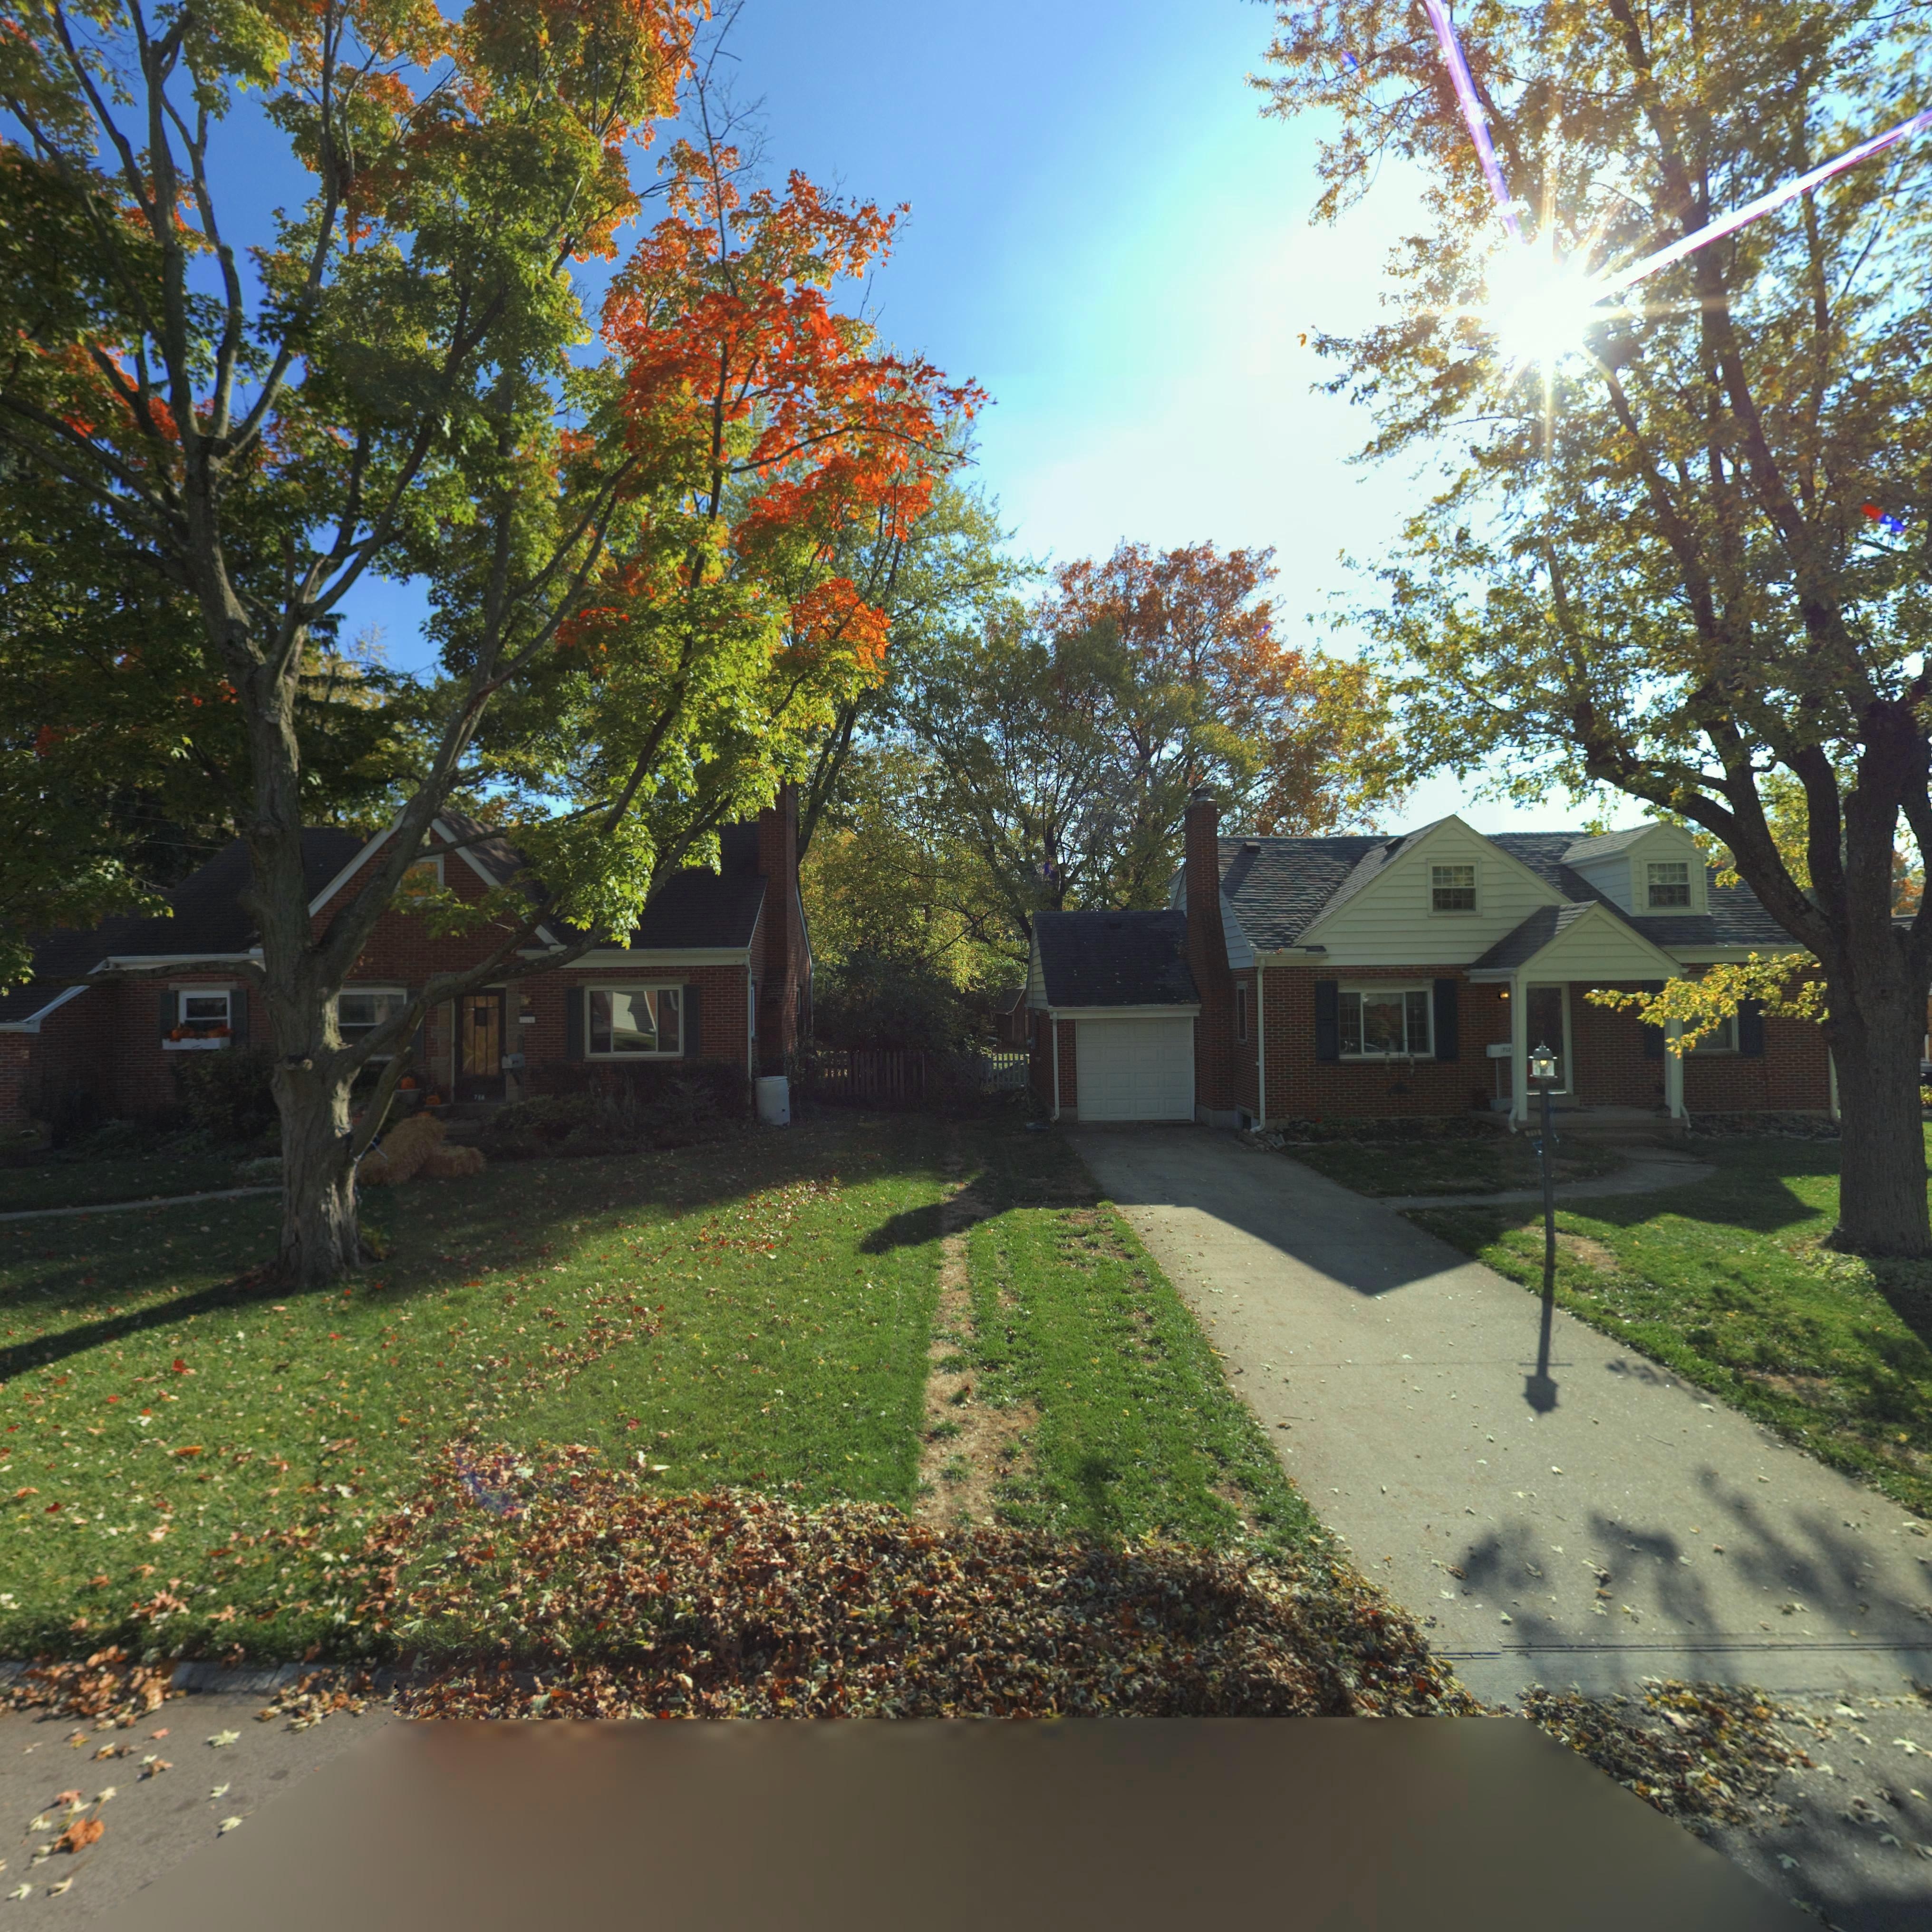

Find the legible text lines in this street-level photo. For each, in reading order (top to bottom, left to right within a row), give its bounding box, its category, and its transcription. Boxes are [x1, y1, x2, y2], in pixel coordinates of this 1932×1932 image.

[473, 1094, 486, 1101] StreetNumber: 71*